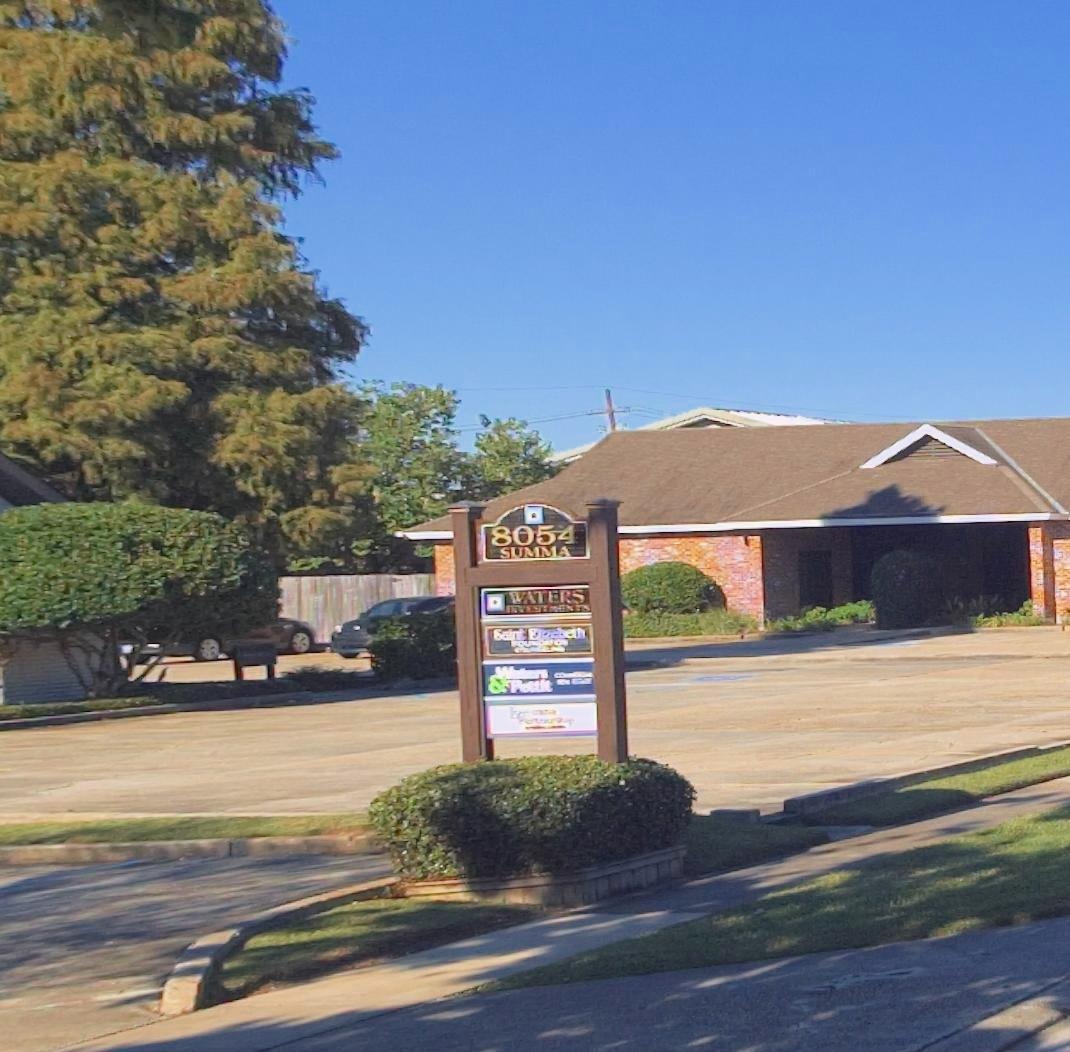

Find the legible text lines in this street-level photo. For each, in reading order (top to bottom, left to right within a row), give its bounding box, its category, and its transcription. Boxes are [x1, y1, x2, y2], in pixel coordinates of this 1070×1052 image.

[491, 523, 579, 548] StreetNumber: 8054
[499, 545, 575, 560] StreetName: SUMMA
[506, 588, 588, 605] BusinessName: WATERS
[505, 602, 592, 615] BusinessName: INVESTMENTS
[492, 627, 528, 643] BusinessName: Saint